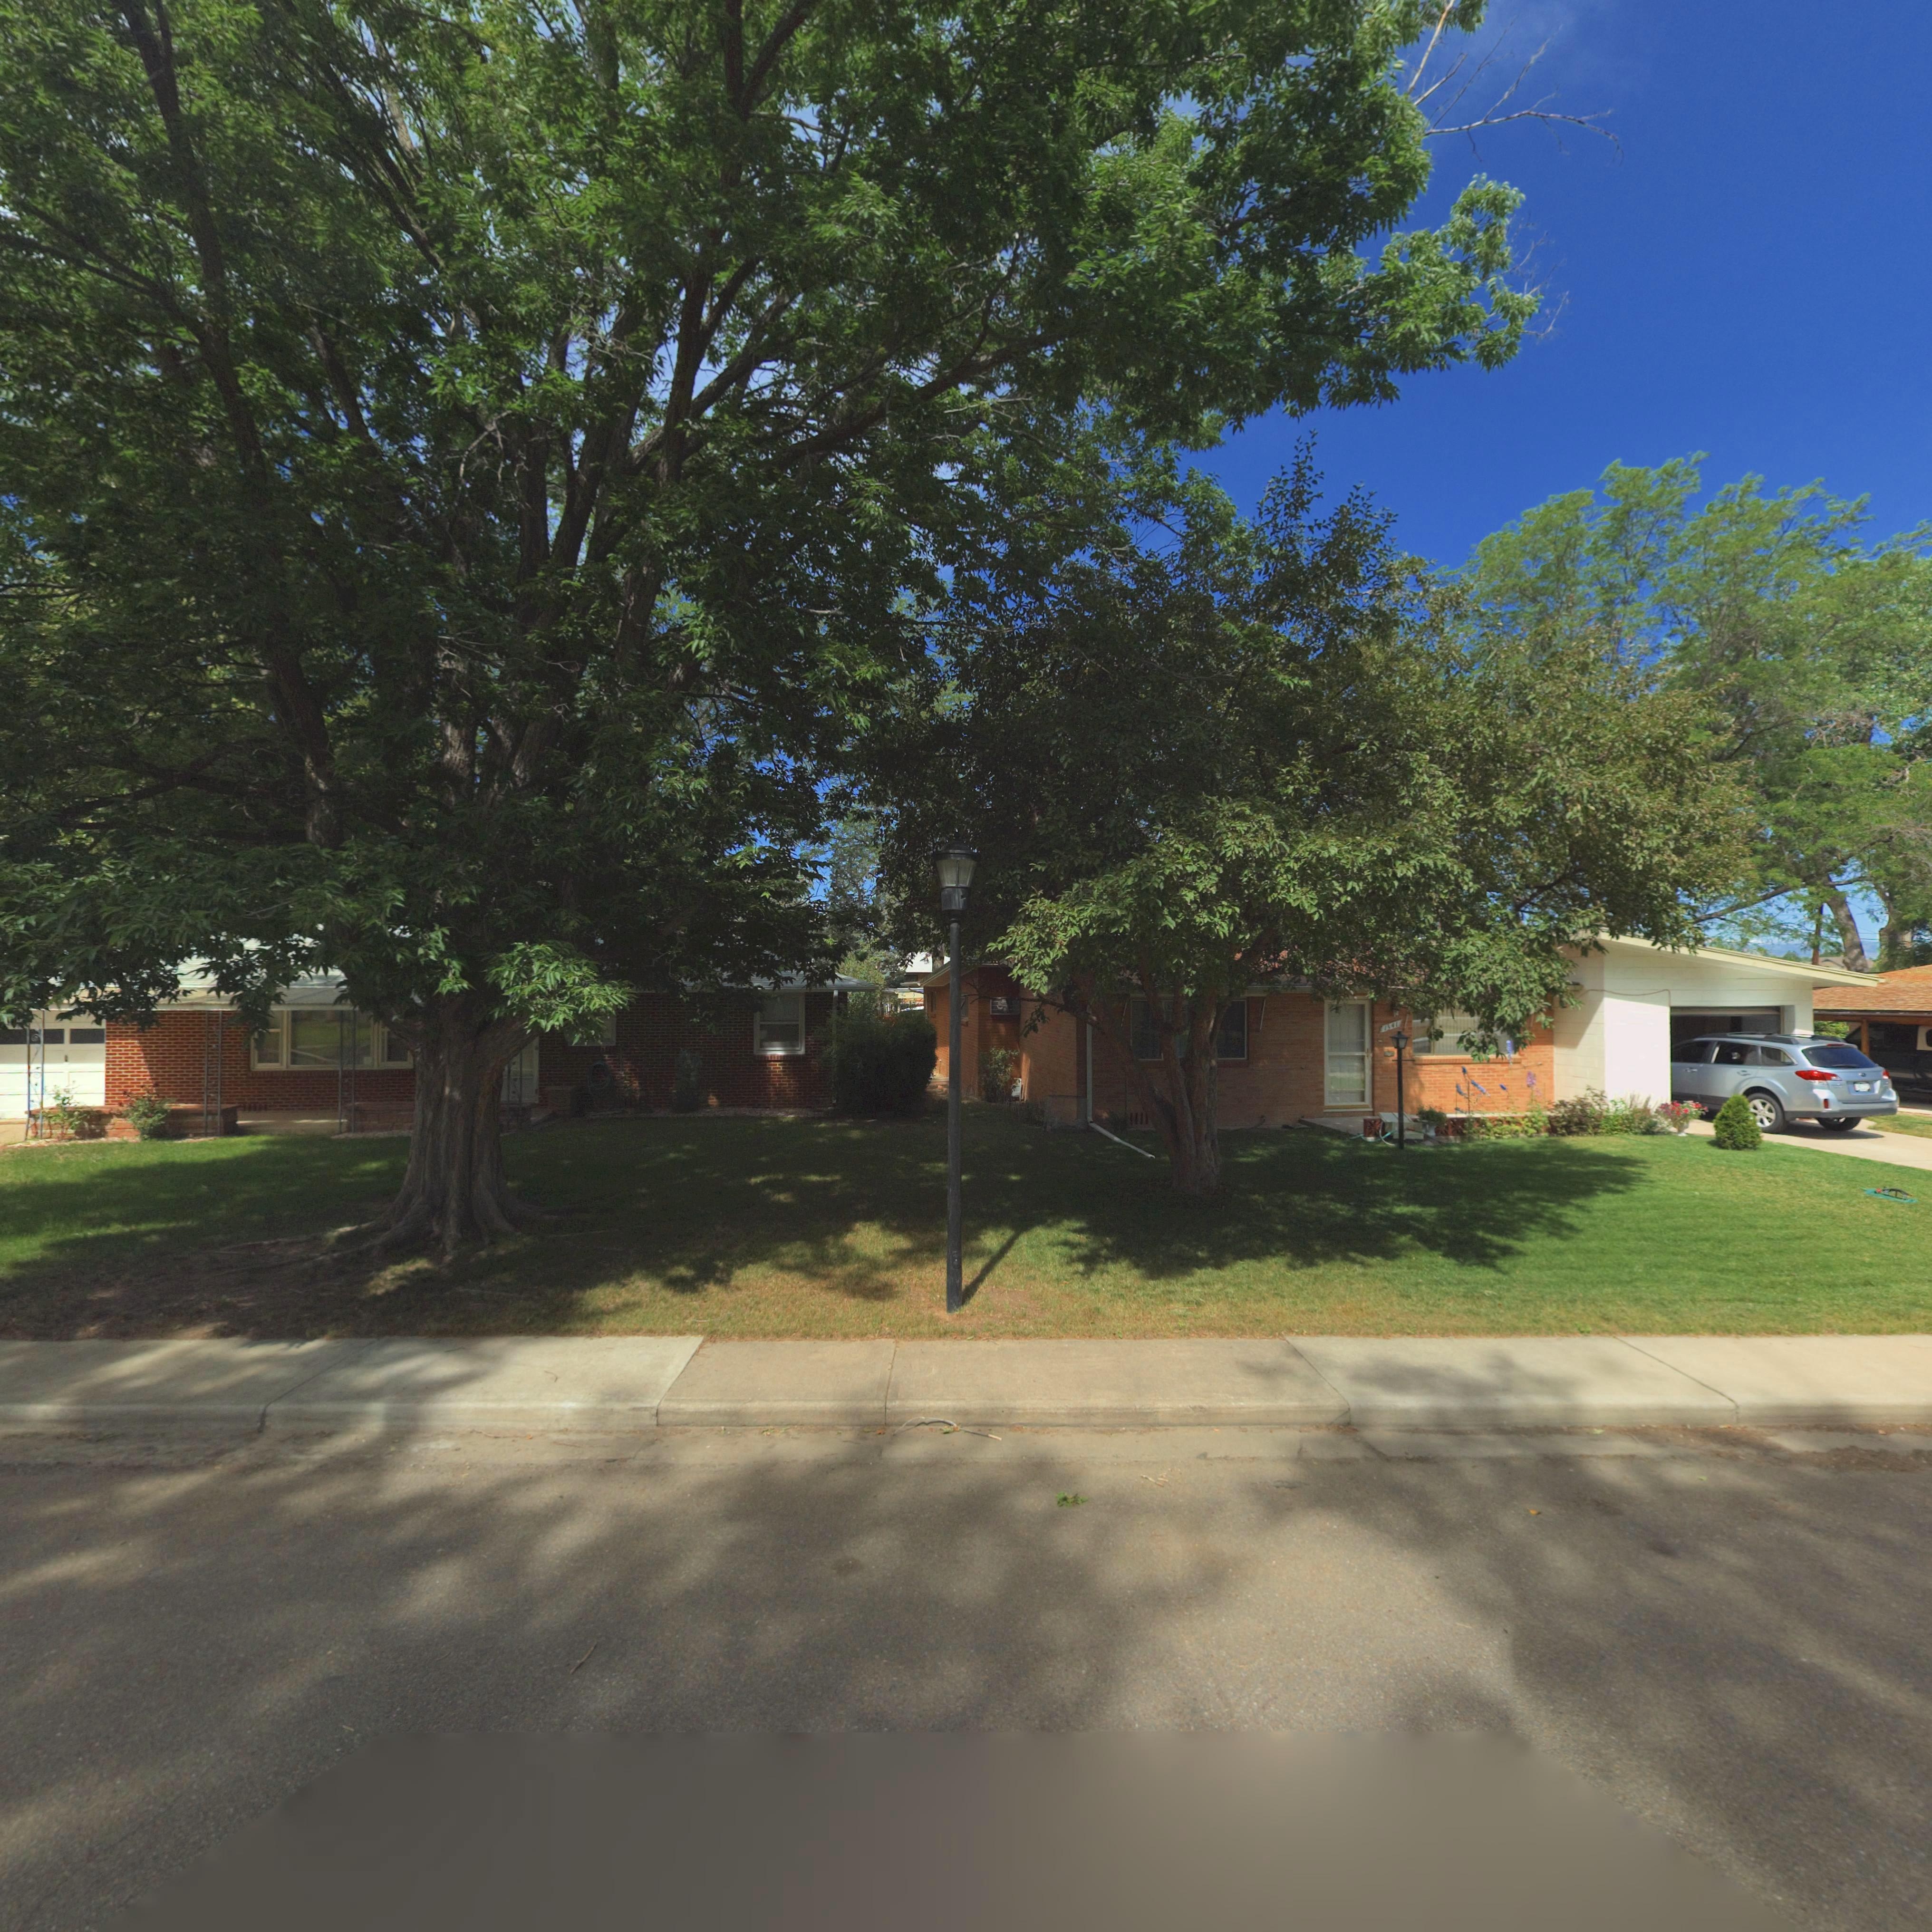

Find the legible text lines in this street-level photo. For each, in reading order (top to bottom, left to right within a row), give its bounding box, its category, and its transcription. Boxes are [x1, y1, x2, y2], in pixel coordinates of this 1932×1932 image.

[1383, 1020, 1399, 1031] StreetNumber: 1341